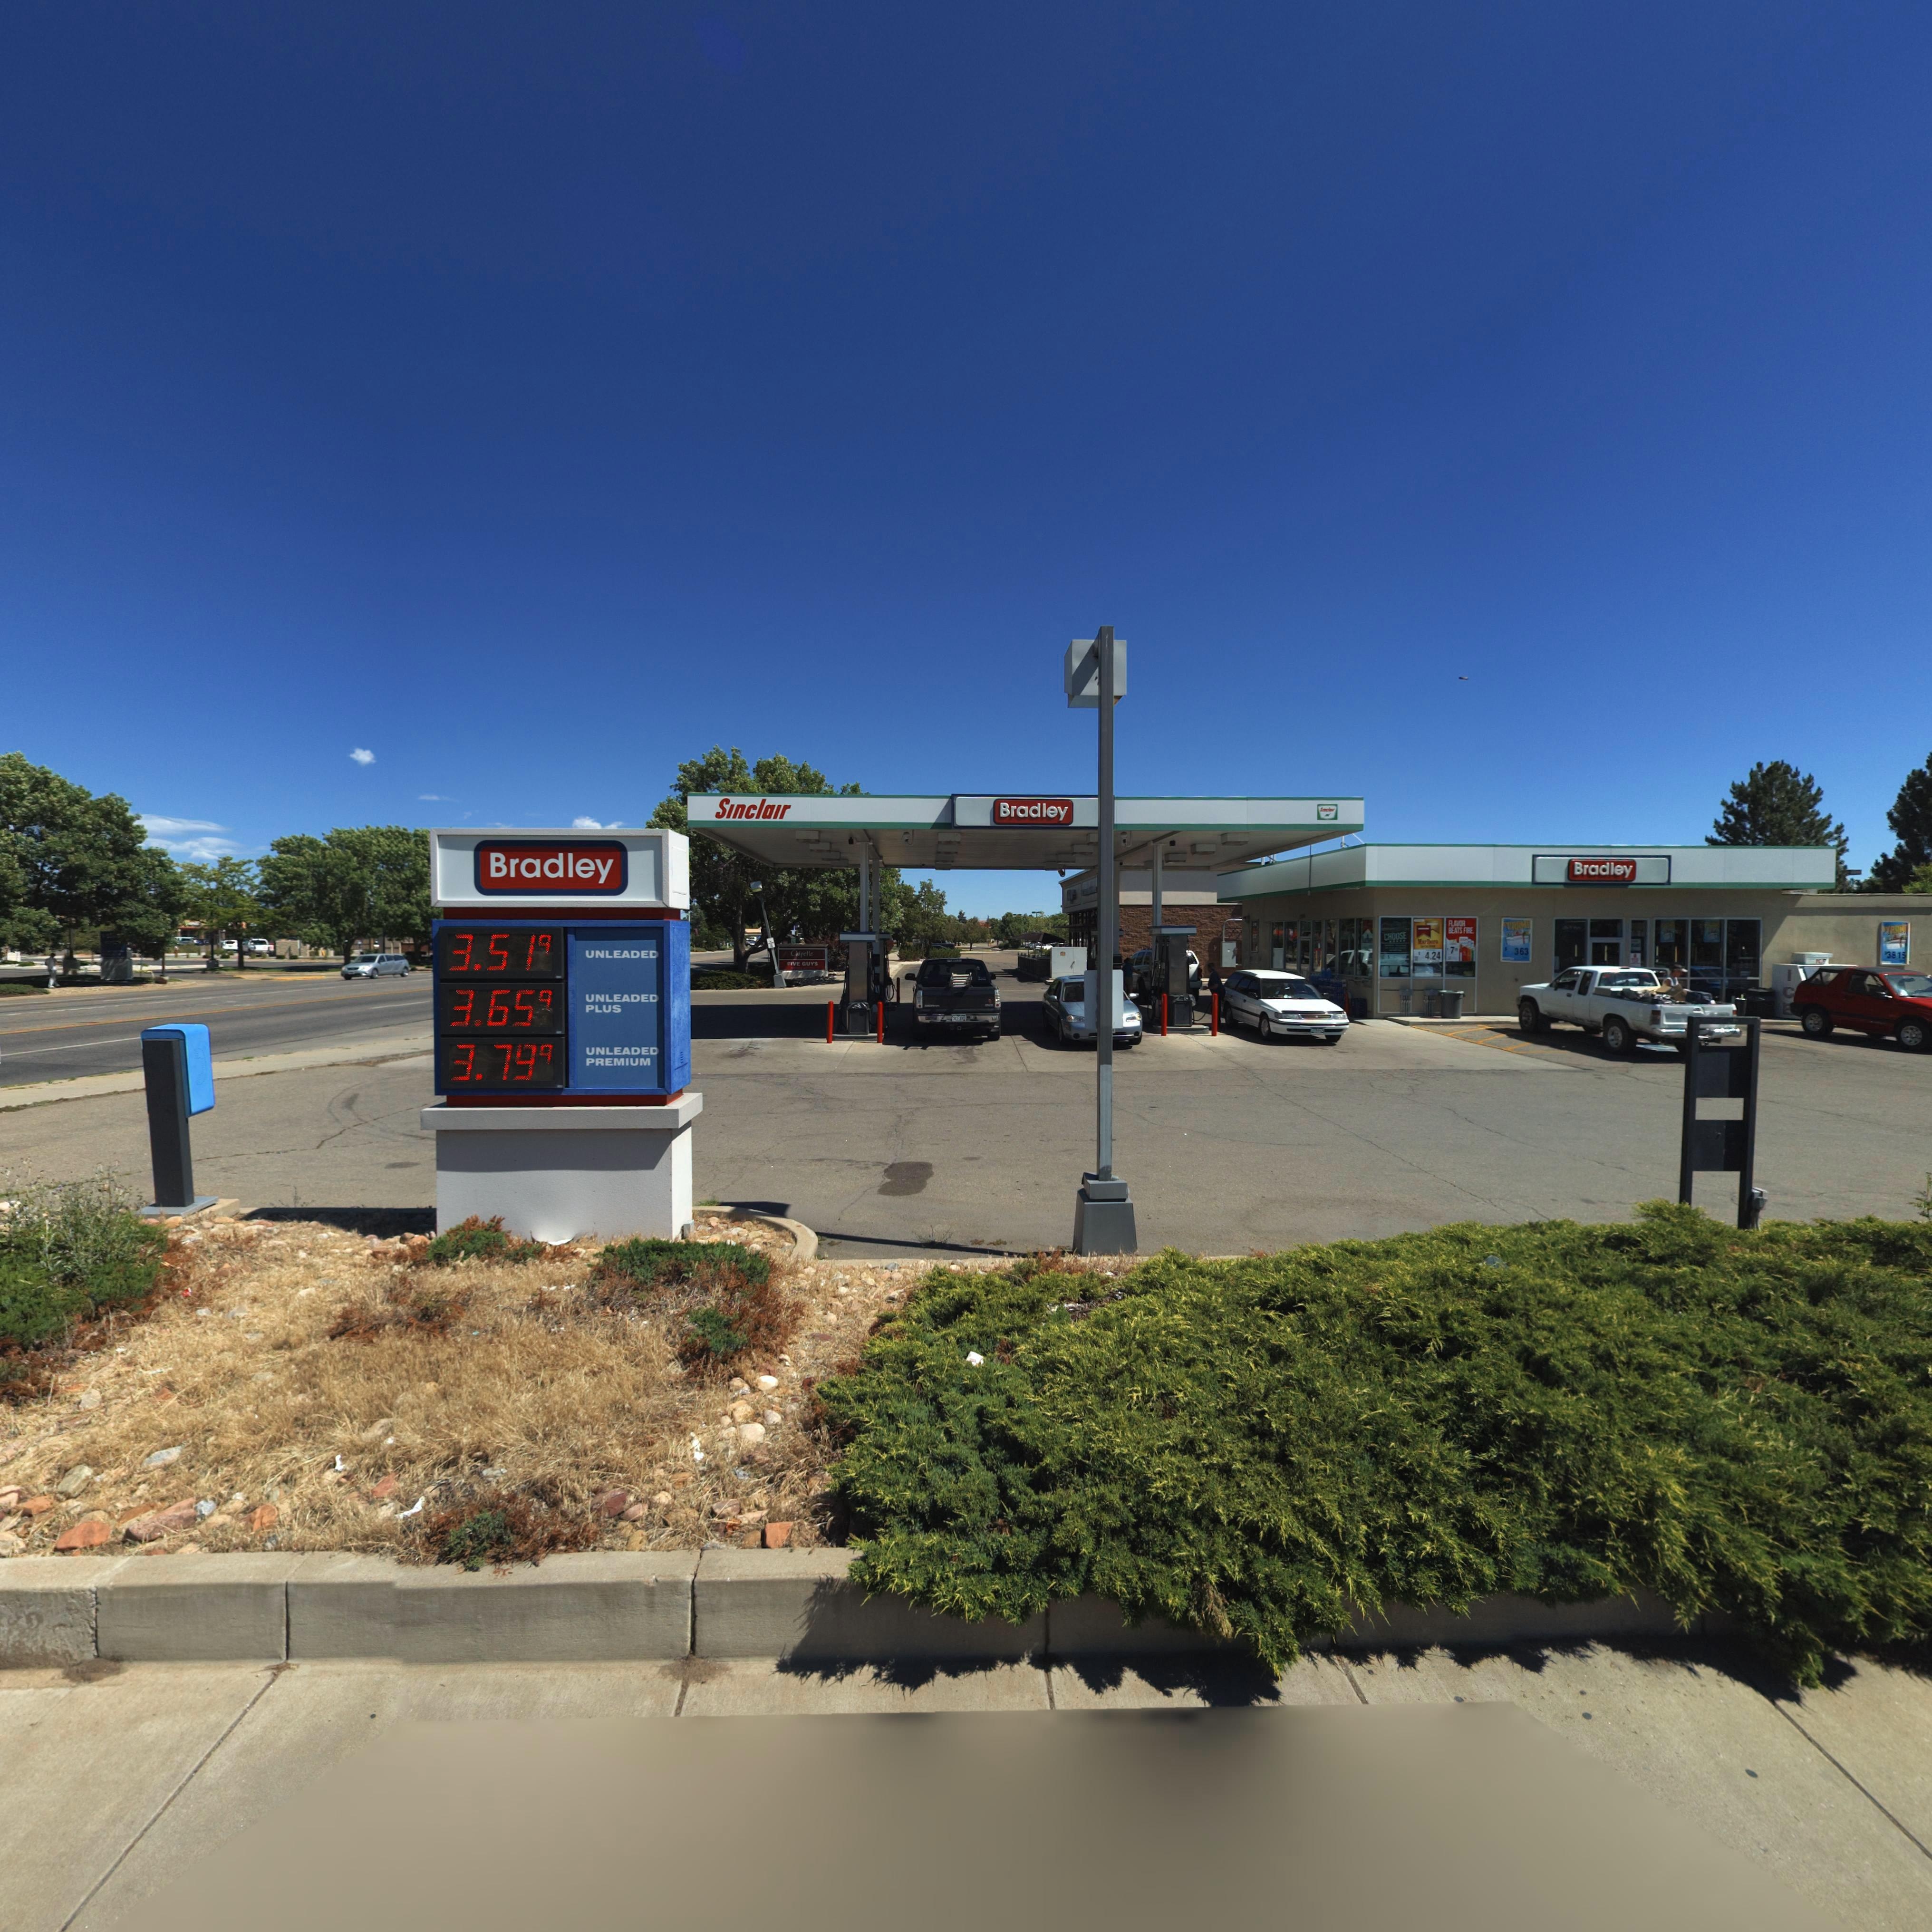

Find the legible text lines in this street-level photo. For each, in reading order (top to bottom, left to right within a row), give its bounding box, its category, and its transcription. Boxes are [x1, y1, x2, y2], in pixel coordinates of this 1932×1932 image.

[714, 797, 792, 820] BusinessName: Sinclair
[999, 802, 1069, 821] BusinessName: Bradley
[1319, 807, 1335, 811] BusinessName: Sin*****
[489, 852, 614, 884] BusinessName: Bradley
[1573, 861, 1633, 879] BusinessName: Bradley
[790, 949, 814, 957] BusinessName: Chipotle
[787, 961, 818, 966] BusinessName: FIVE GUYS